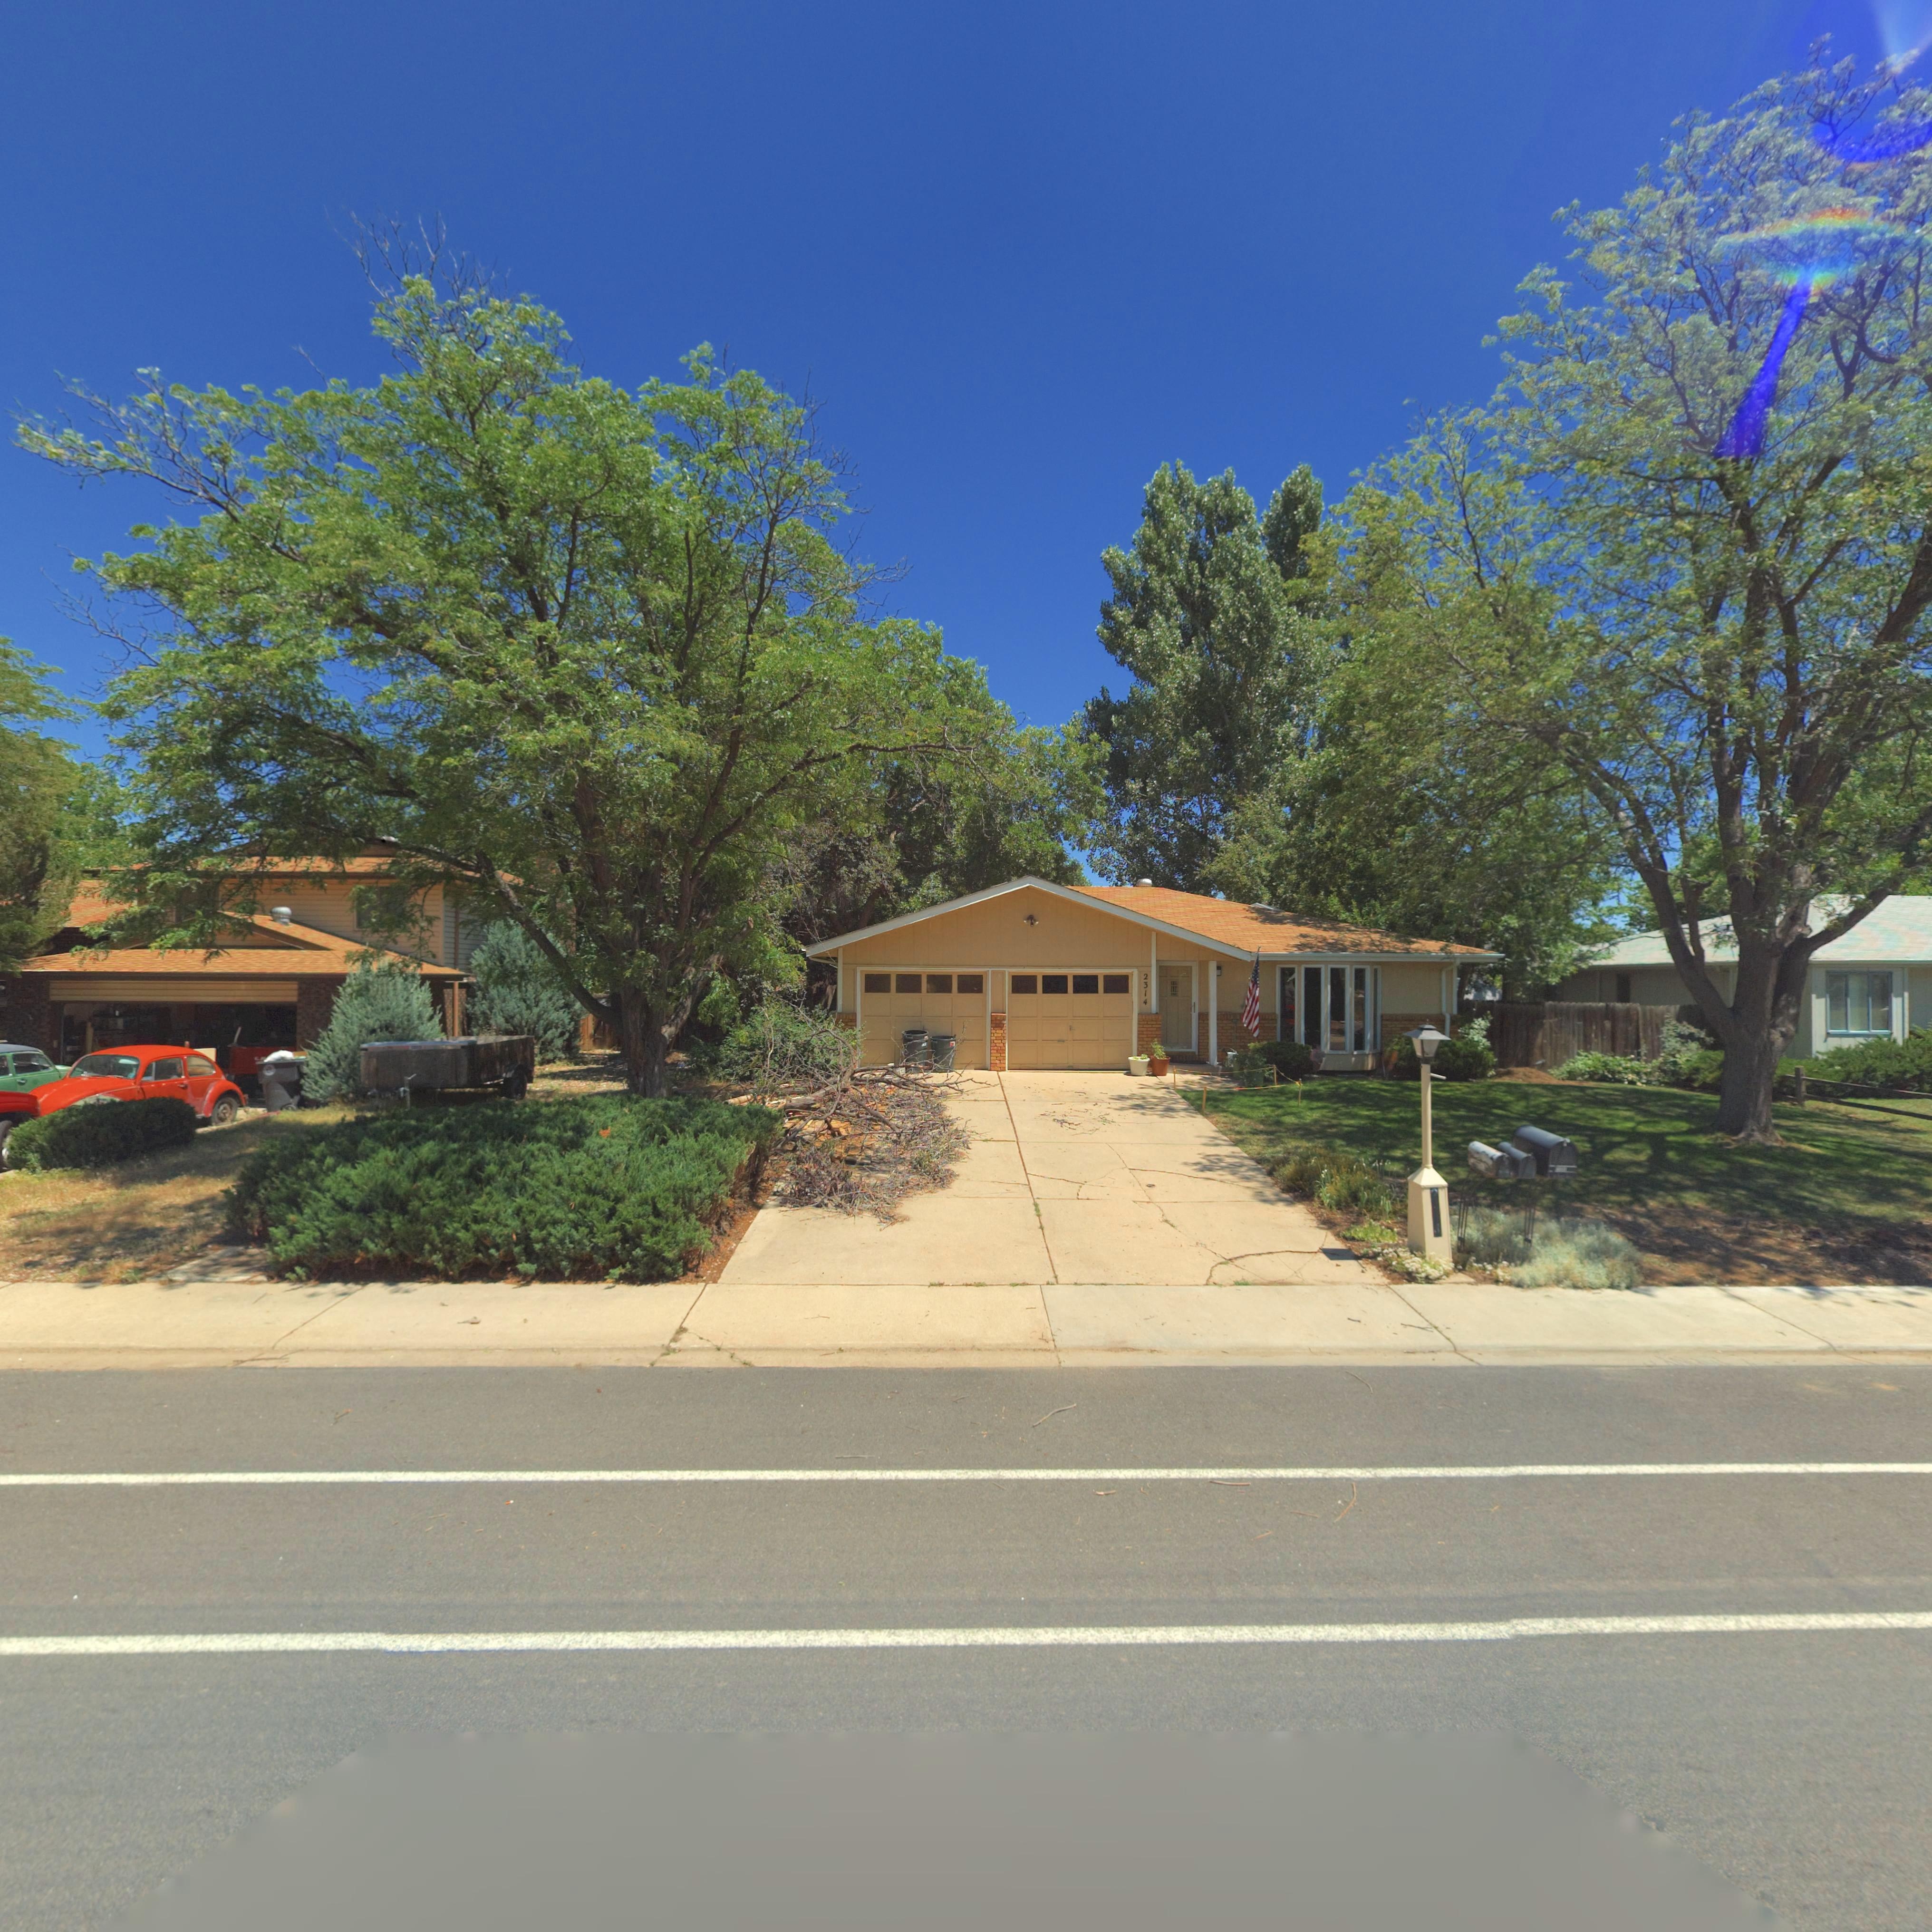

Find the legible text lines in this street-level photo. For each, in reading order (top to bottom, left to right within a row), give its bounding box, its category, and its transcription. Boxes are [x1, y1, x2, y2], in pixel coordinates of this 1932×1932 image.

[1143, 972, 1148, 1006] StreetNumber: 2314